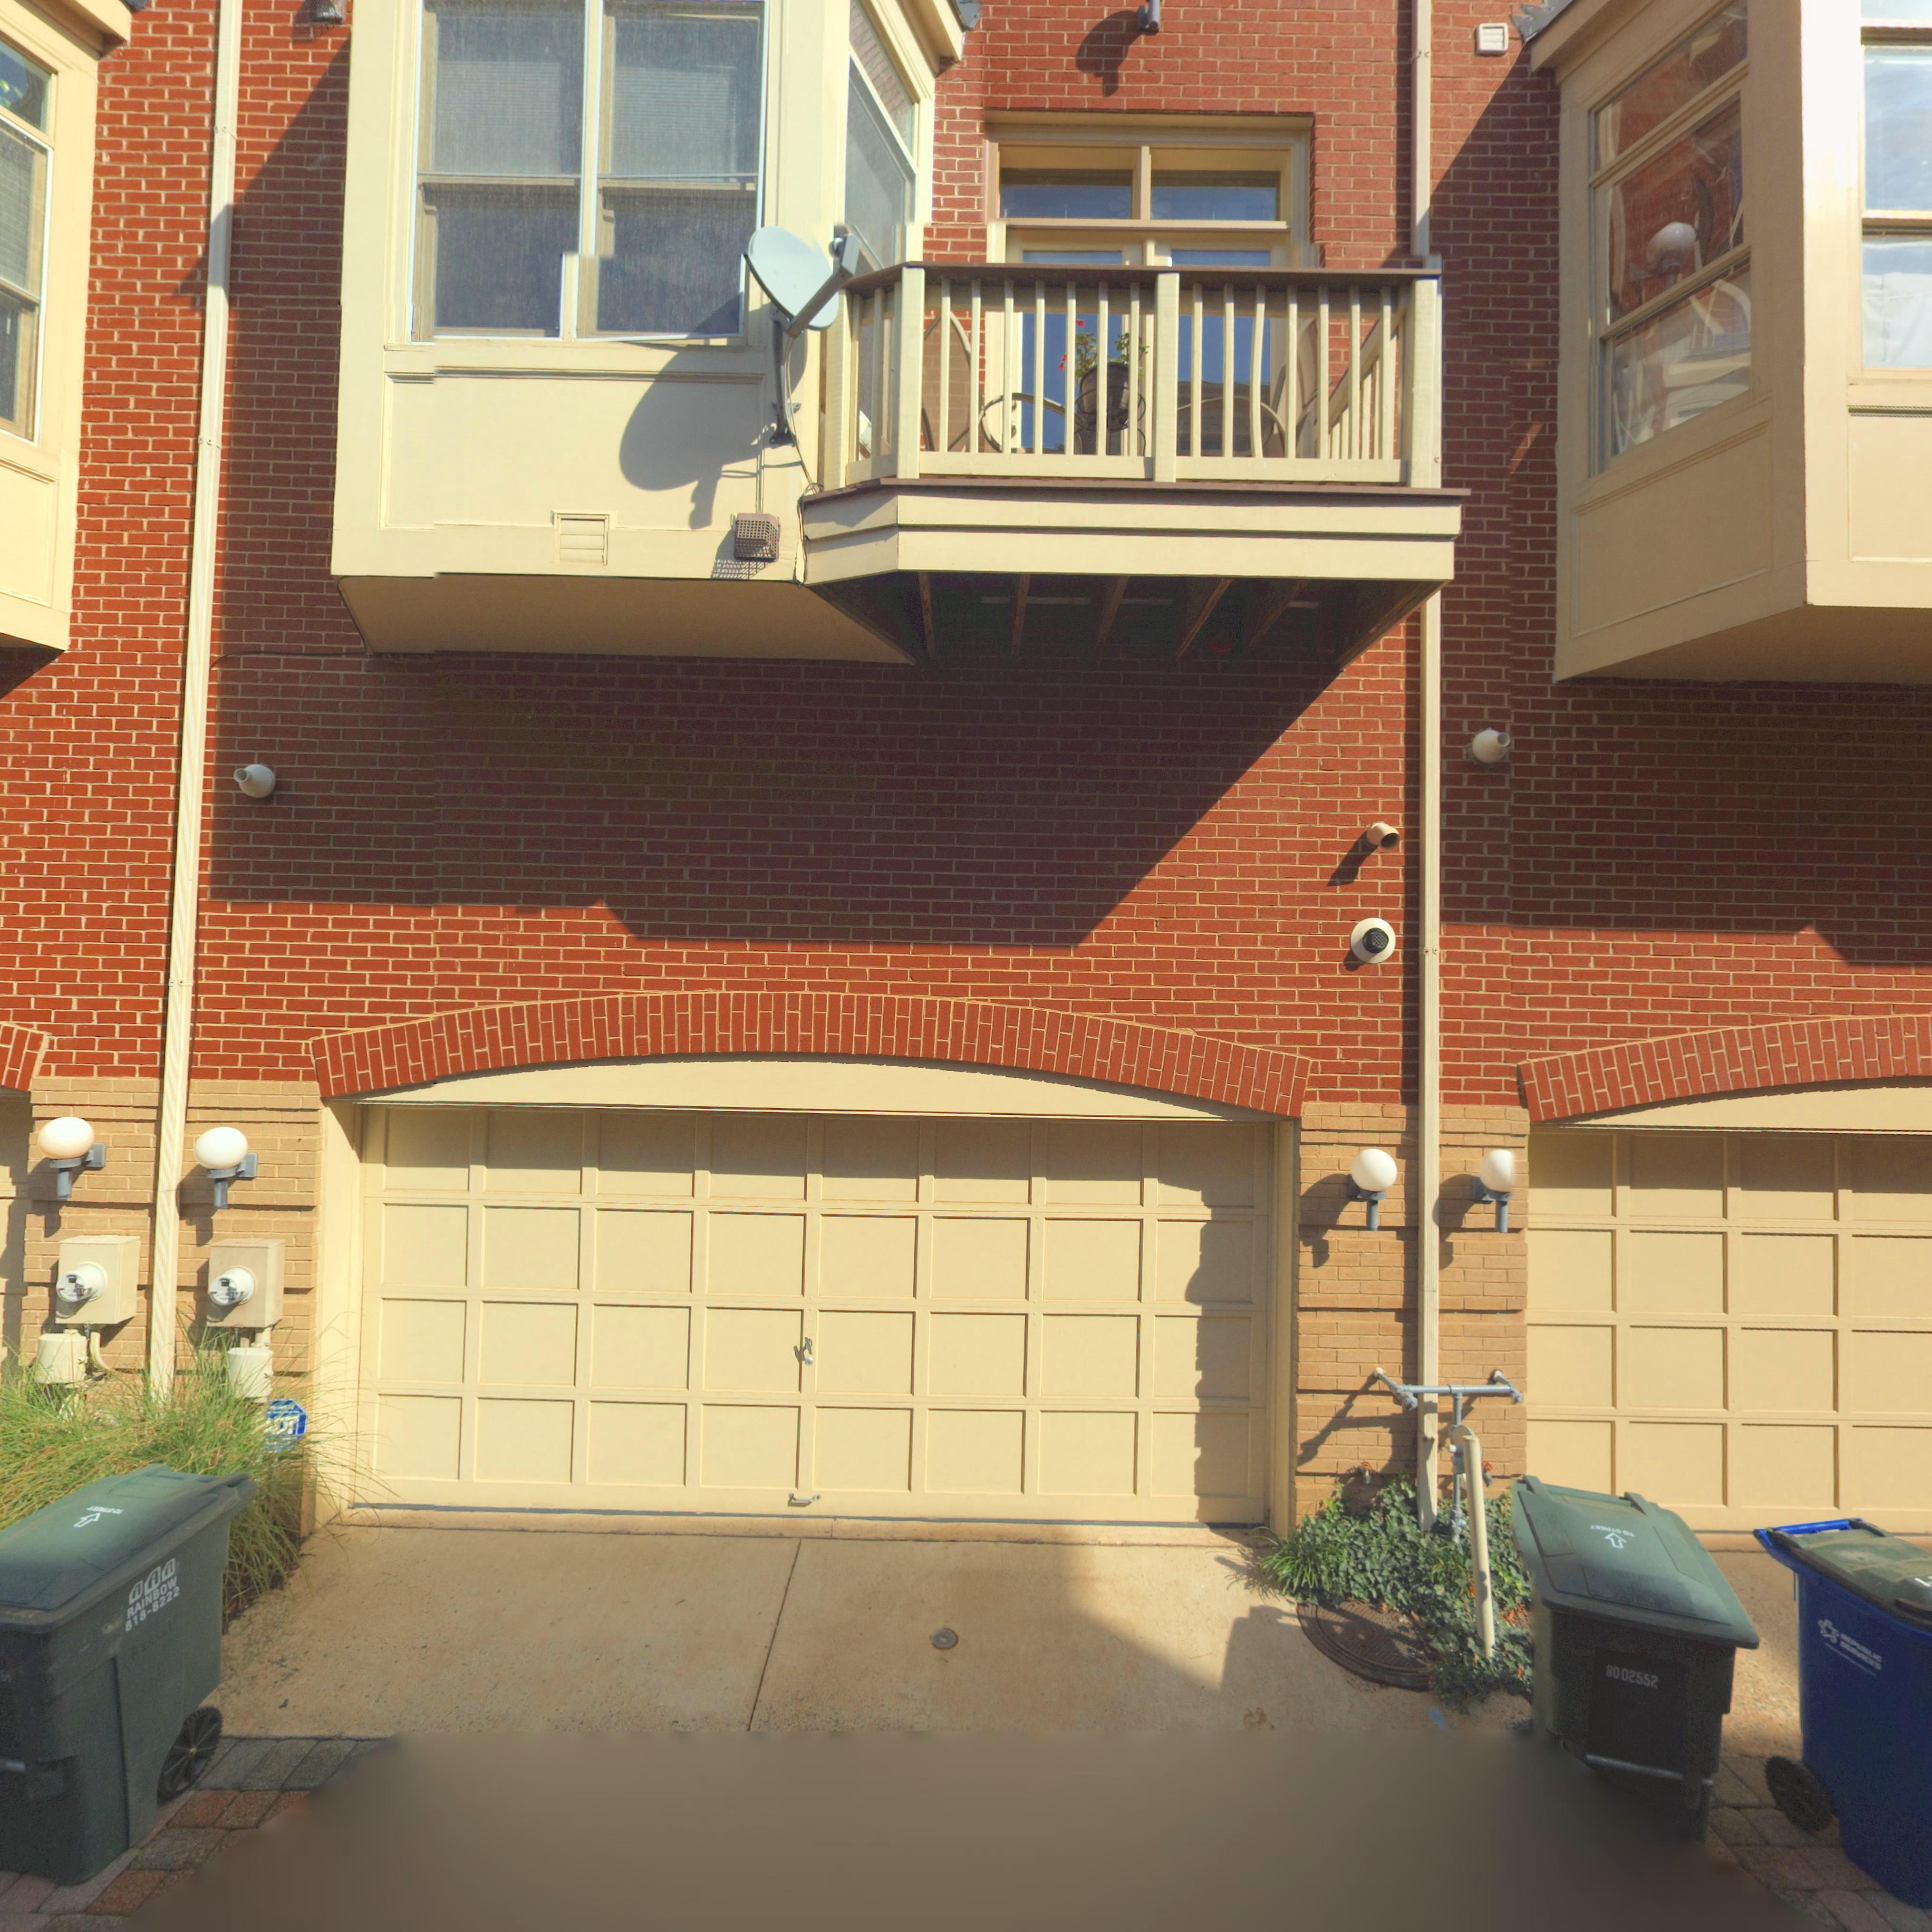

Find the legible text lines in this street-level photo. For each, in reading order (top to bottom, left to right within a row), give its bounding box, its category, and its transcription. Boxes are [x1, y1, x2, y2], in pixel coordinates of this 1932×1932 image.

[284, 1415, 299, 1435] None: T
[126, 1575, 177, 1621] None: RAINBOW
[124, 1584, 180, 1633] None: 818-8222
[132, 1560, 174, 1601] None: AAA
[1605, 1664, 1660, 1690] None: 8002552